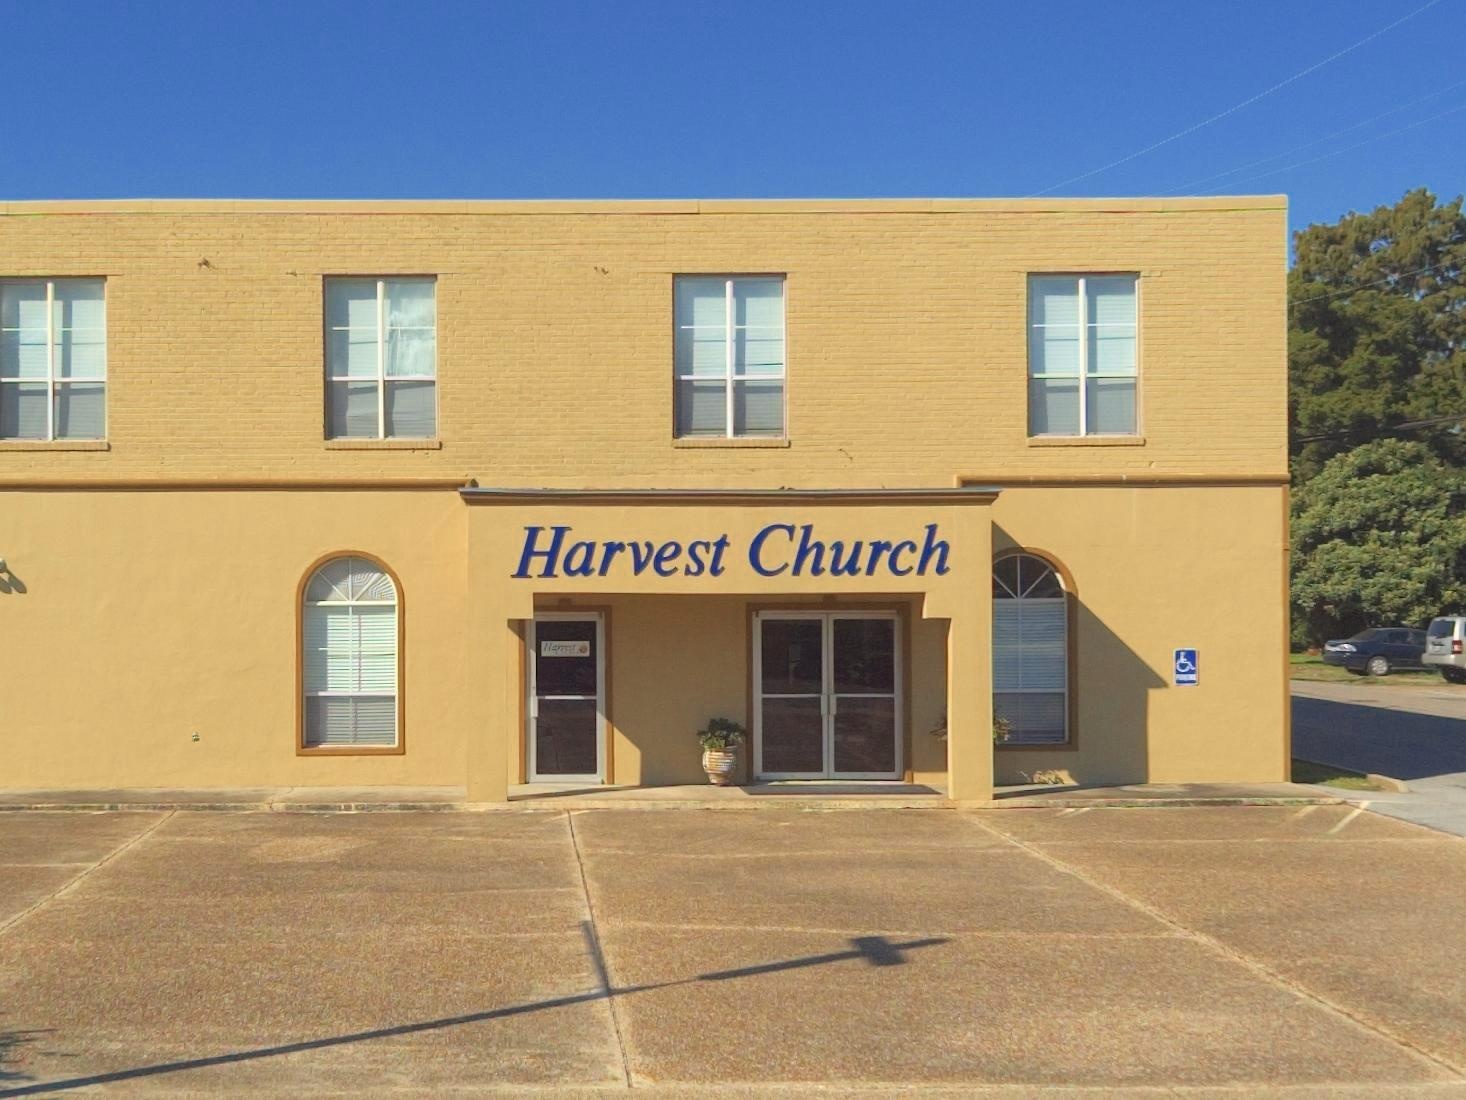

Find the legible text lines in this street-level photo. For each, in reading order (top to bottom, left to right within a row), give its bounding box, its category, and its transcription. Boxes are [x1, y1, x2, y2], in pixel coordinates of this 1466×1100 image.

[509, 523, 951, 579] BusinessName: Harvest Church
[542, 640, 578, 655] None: H*****t